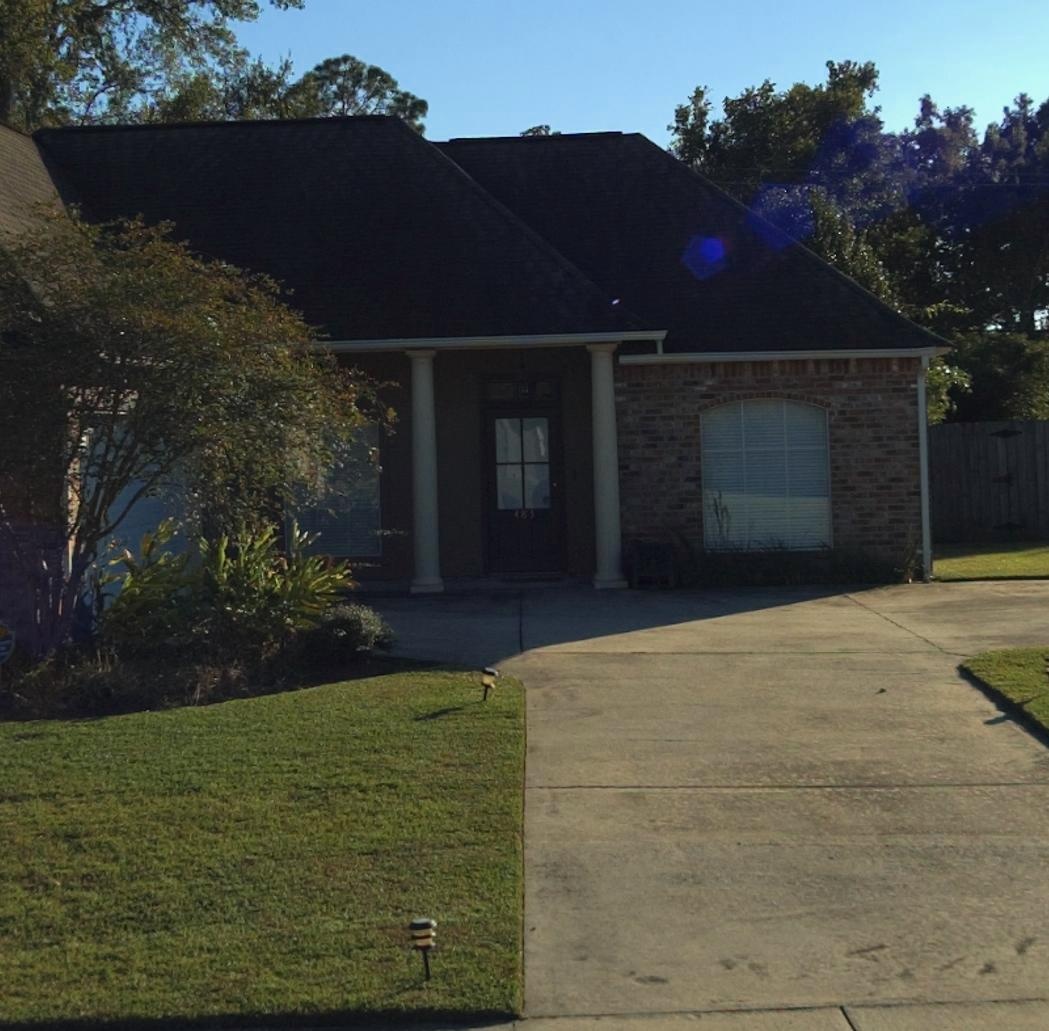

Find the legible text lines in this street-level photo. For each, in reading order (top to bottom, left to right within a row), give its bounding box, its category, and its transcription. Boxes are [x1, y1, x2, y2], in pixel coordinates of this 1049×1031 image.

[513, 509, 536, 520] StreetNumber: 483